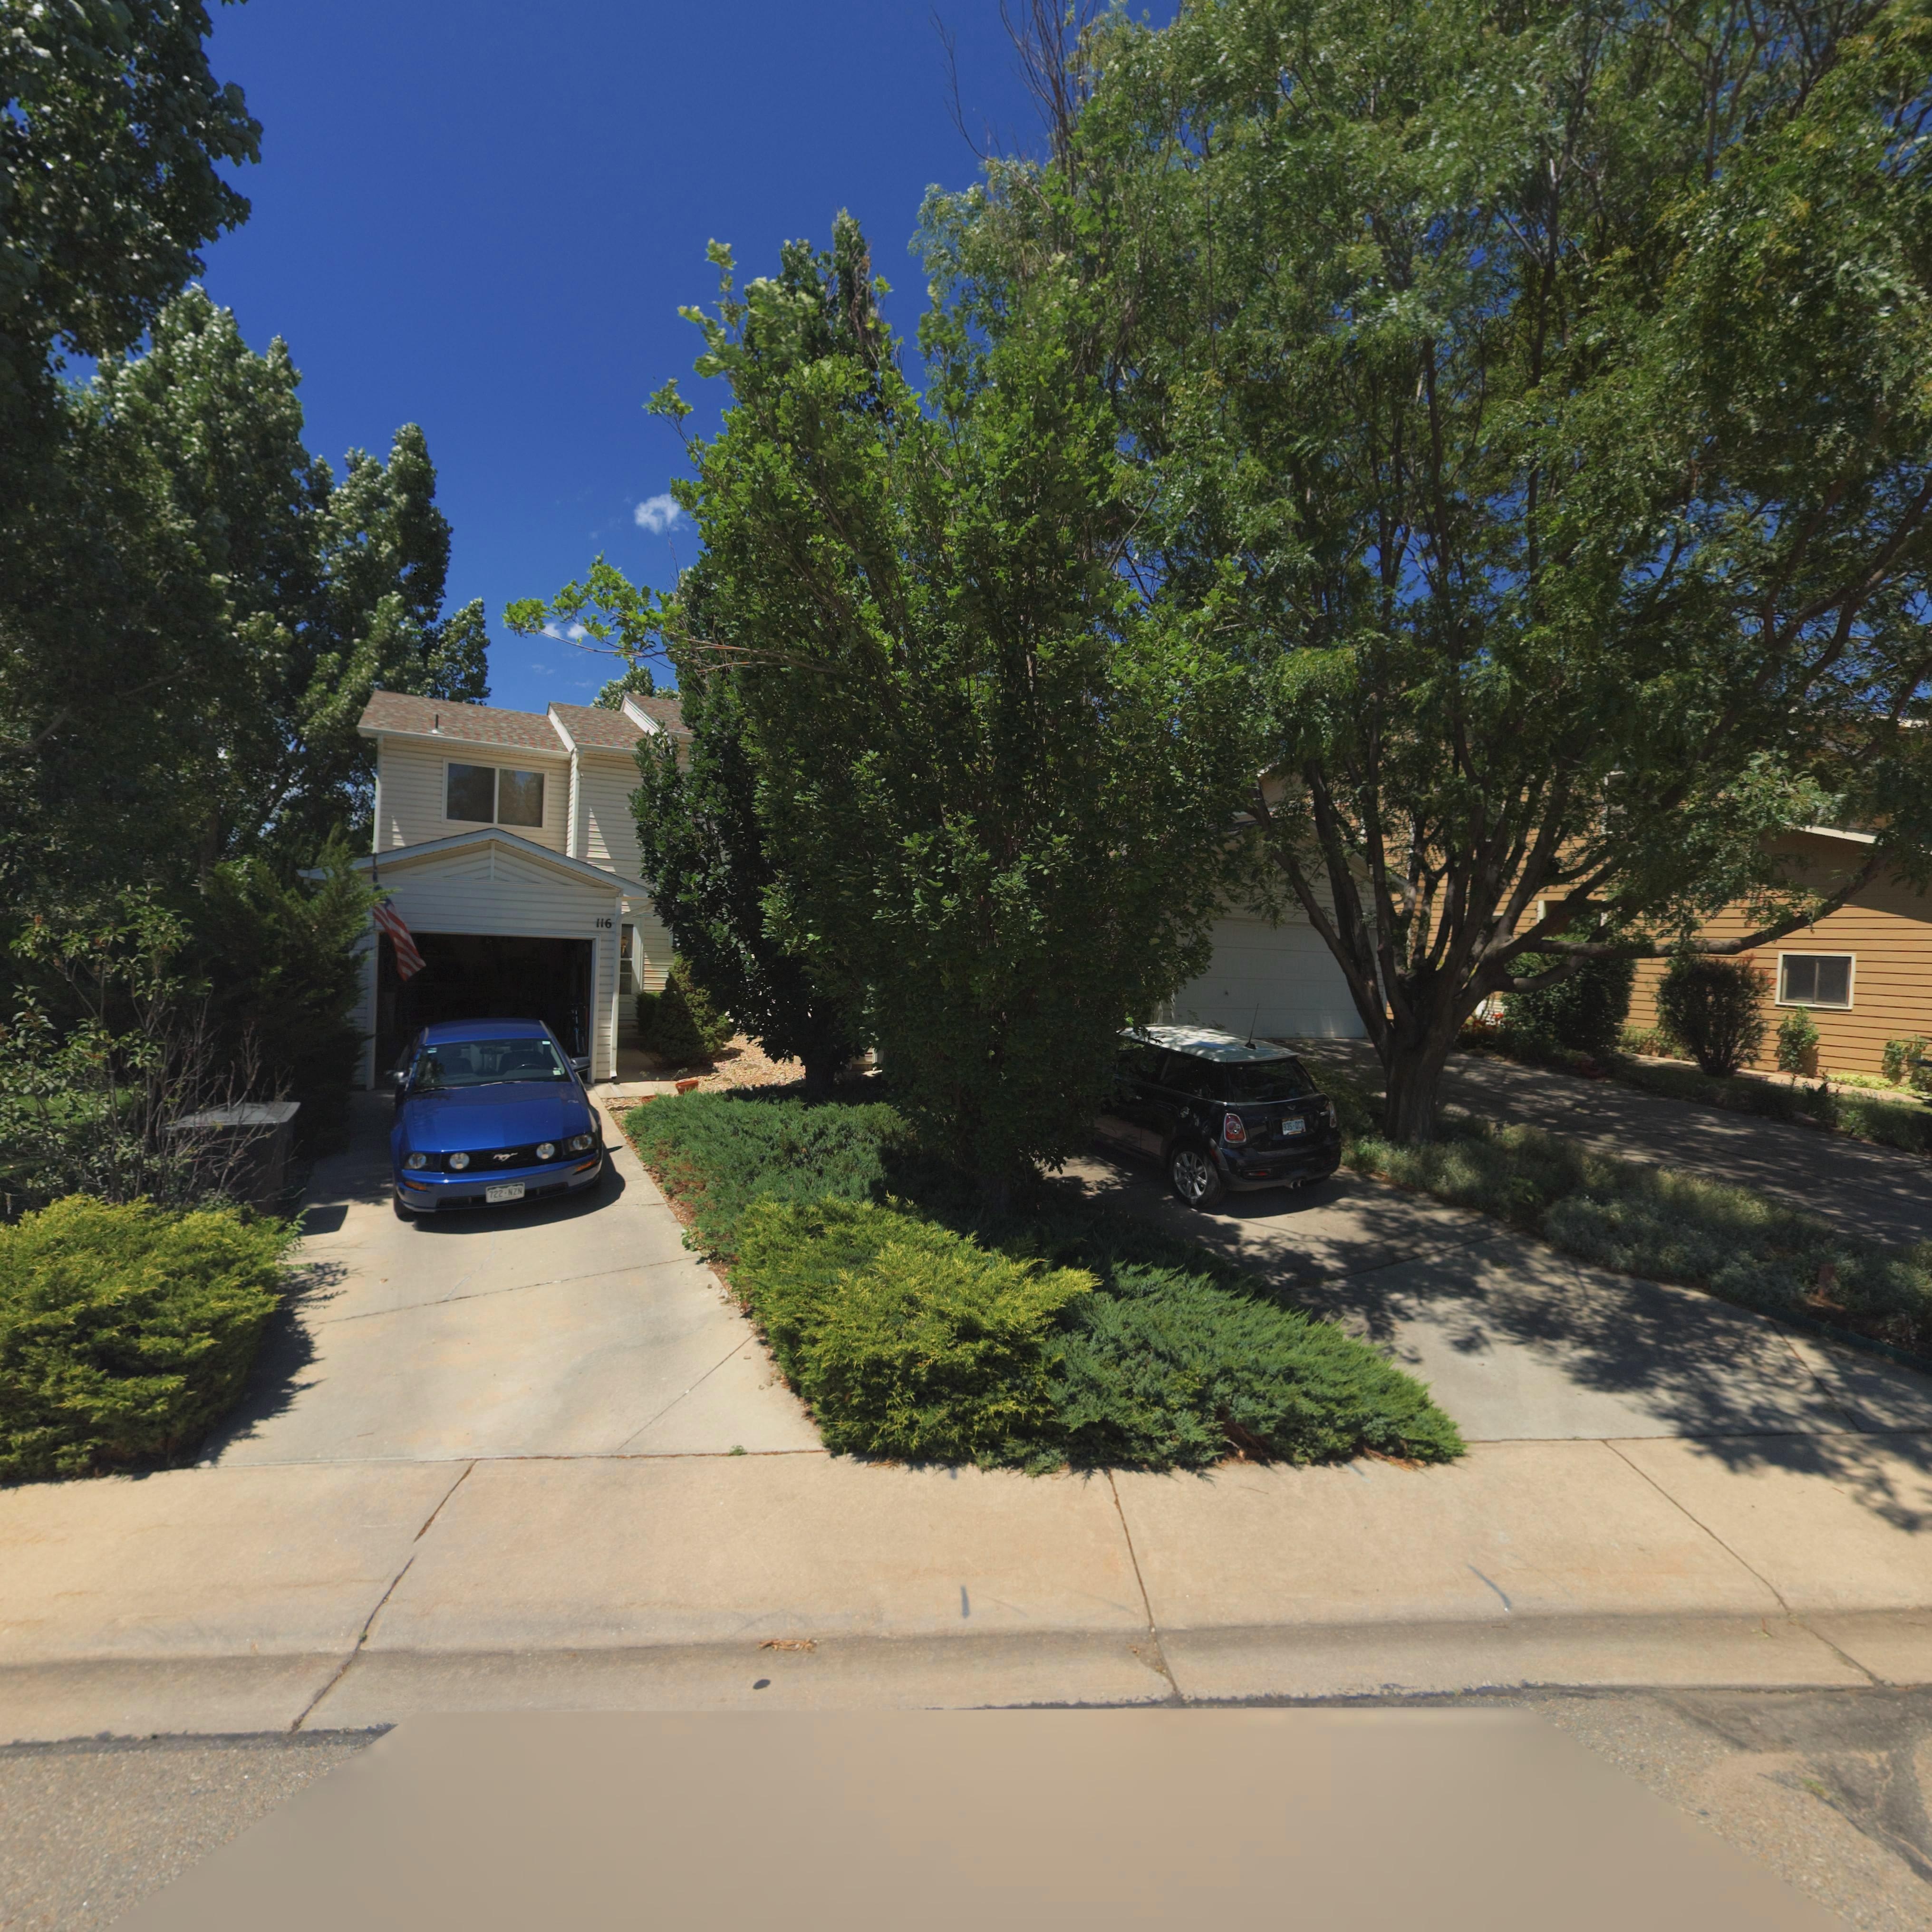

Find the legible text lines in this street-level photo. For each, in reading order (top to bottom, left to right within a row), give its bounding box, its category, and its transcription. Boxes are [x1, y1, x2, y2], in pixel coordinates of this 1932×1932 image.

[596, 918, 612, 928] StreetNumber: 116